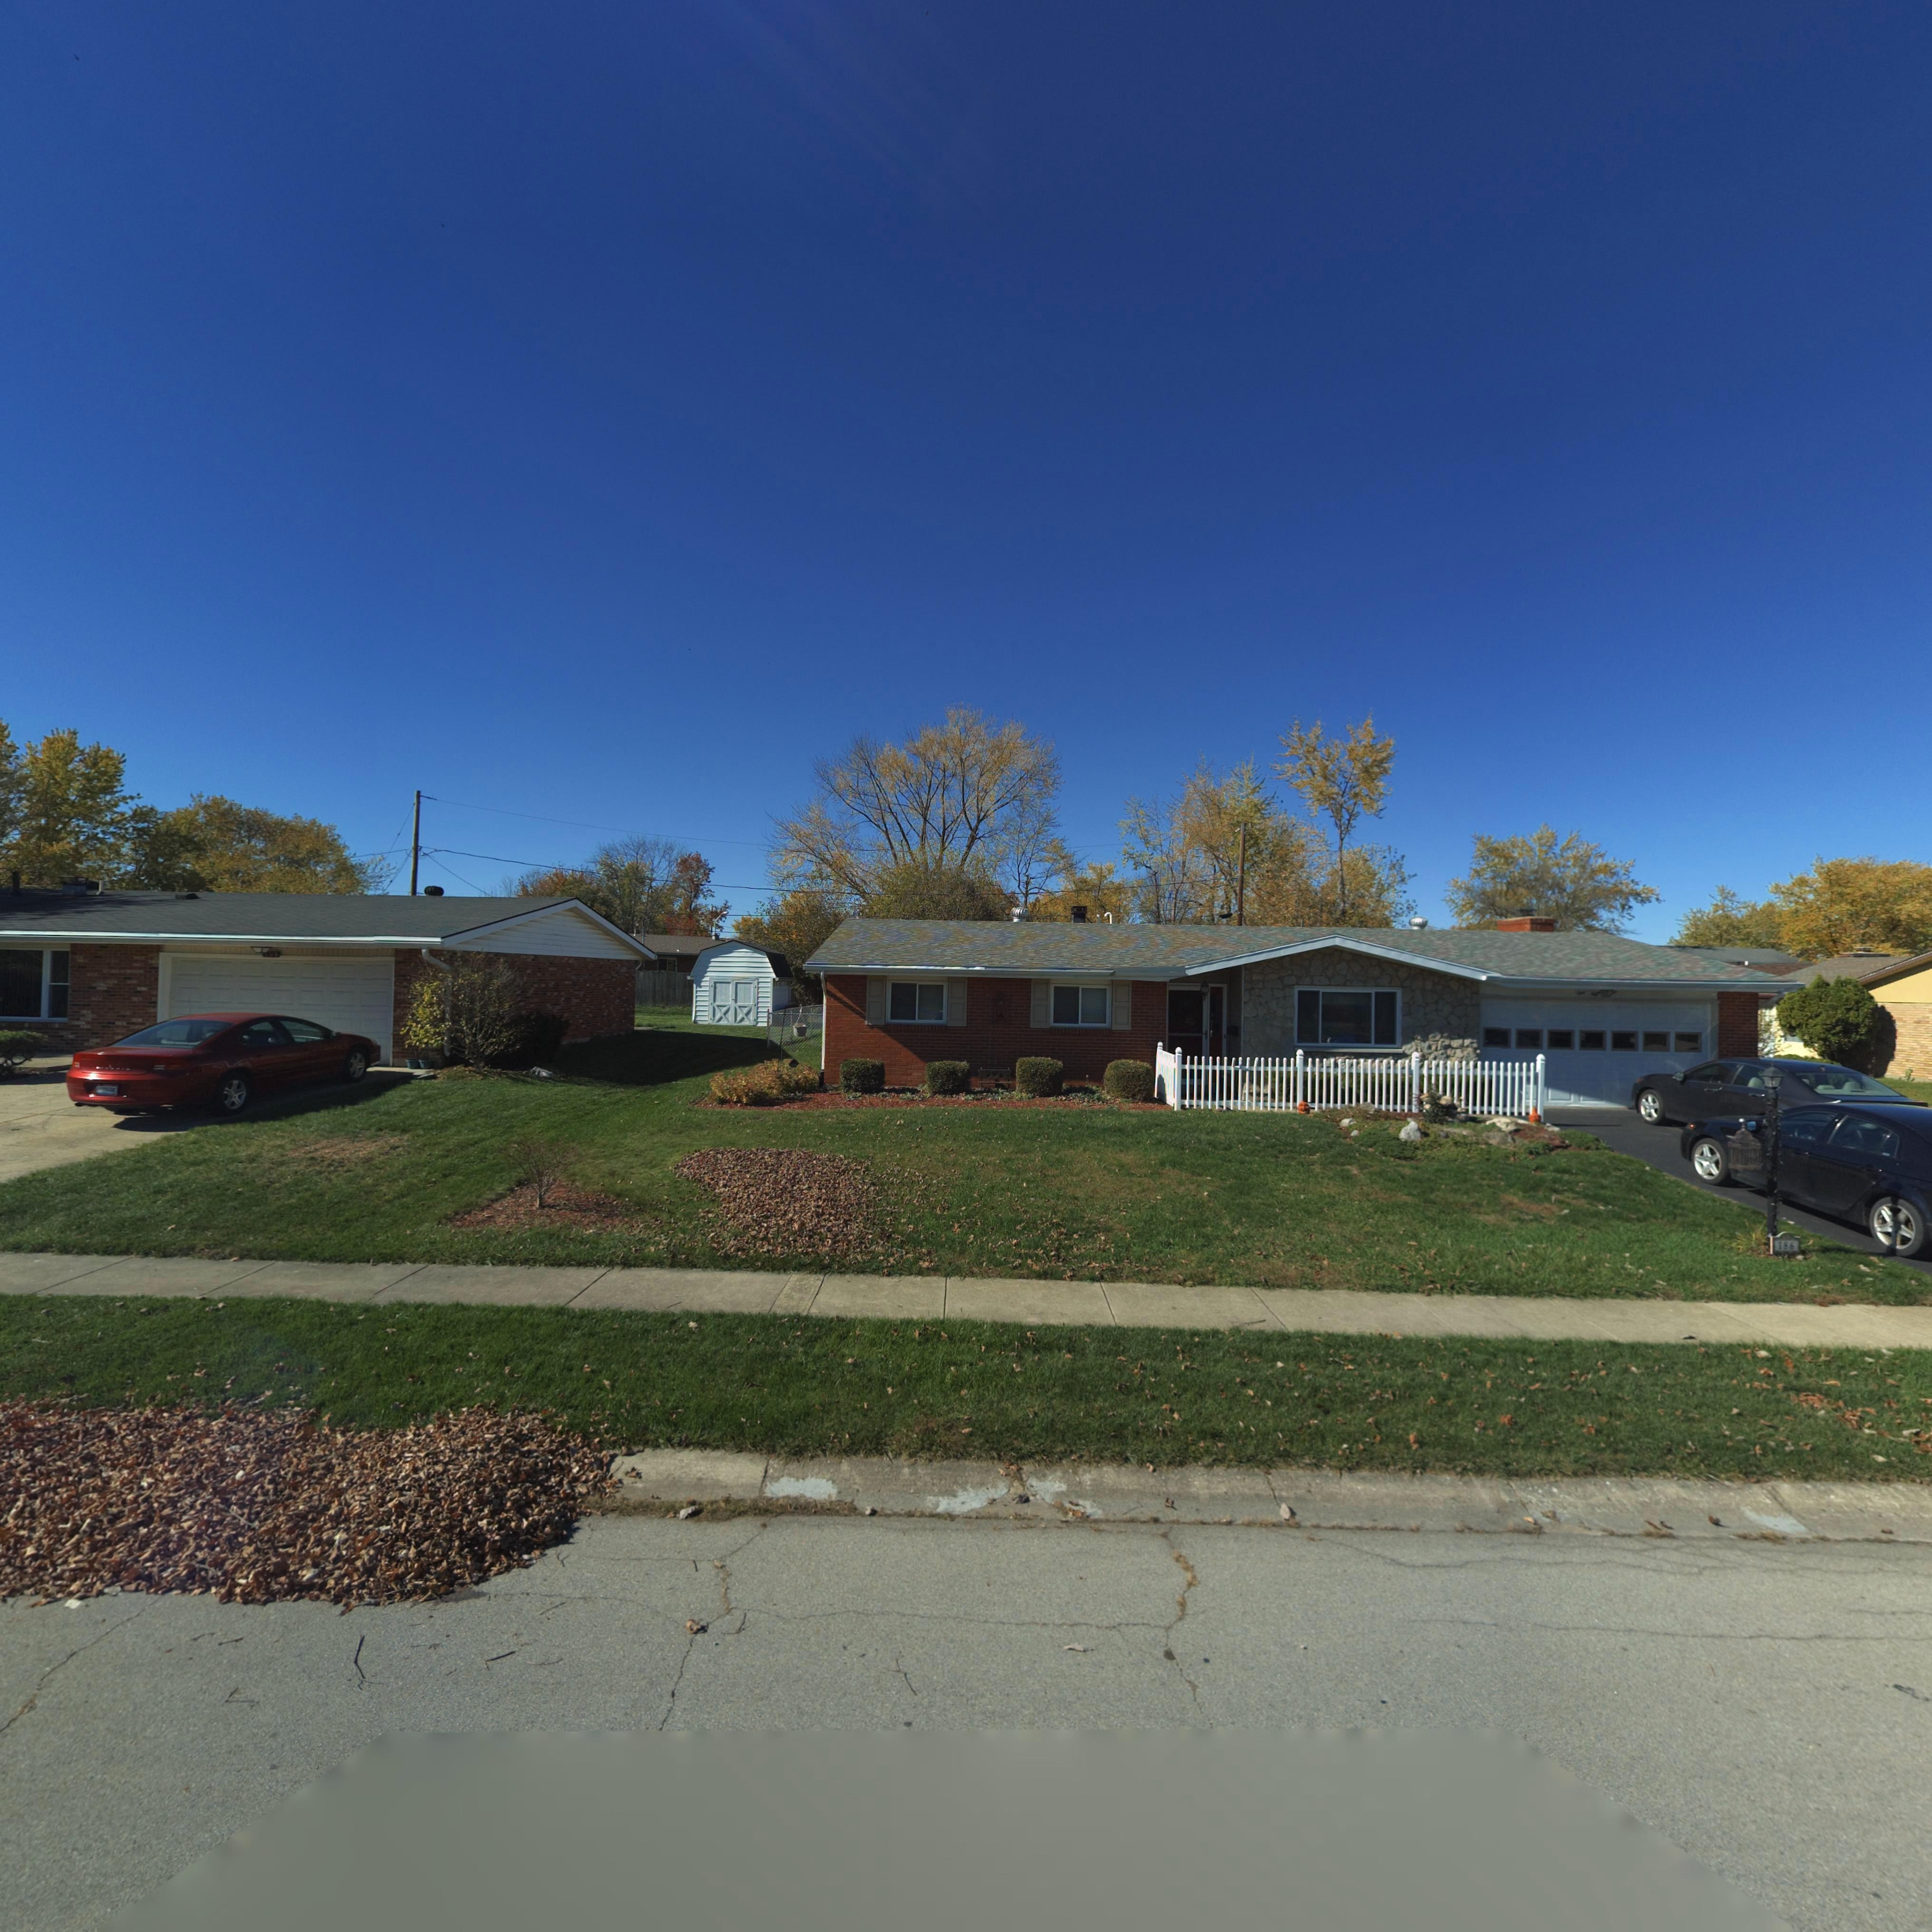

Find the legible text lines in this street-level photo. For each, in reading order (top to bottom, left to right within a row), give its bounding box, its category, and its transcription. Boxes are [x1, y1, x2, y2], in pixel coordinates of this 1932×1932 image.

[1777, 1240, 1796, 1252] StreetNumber: 186